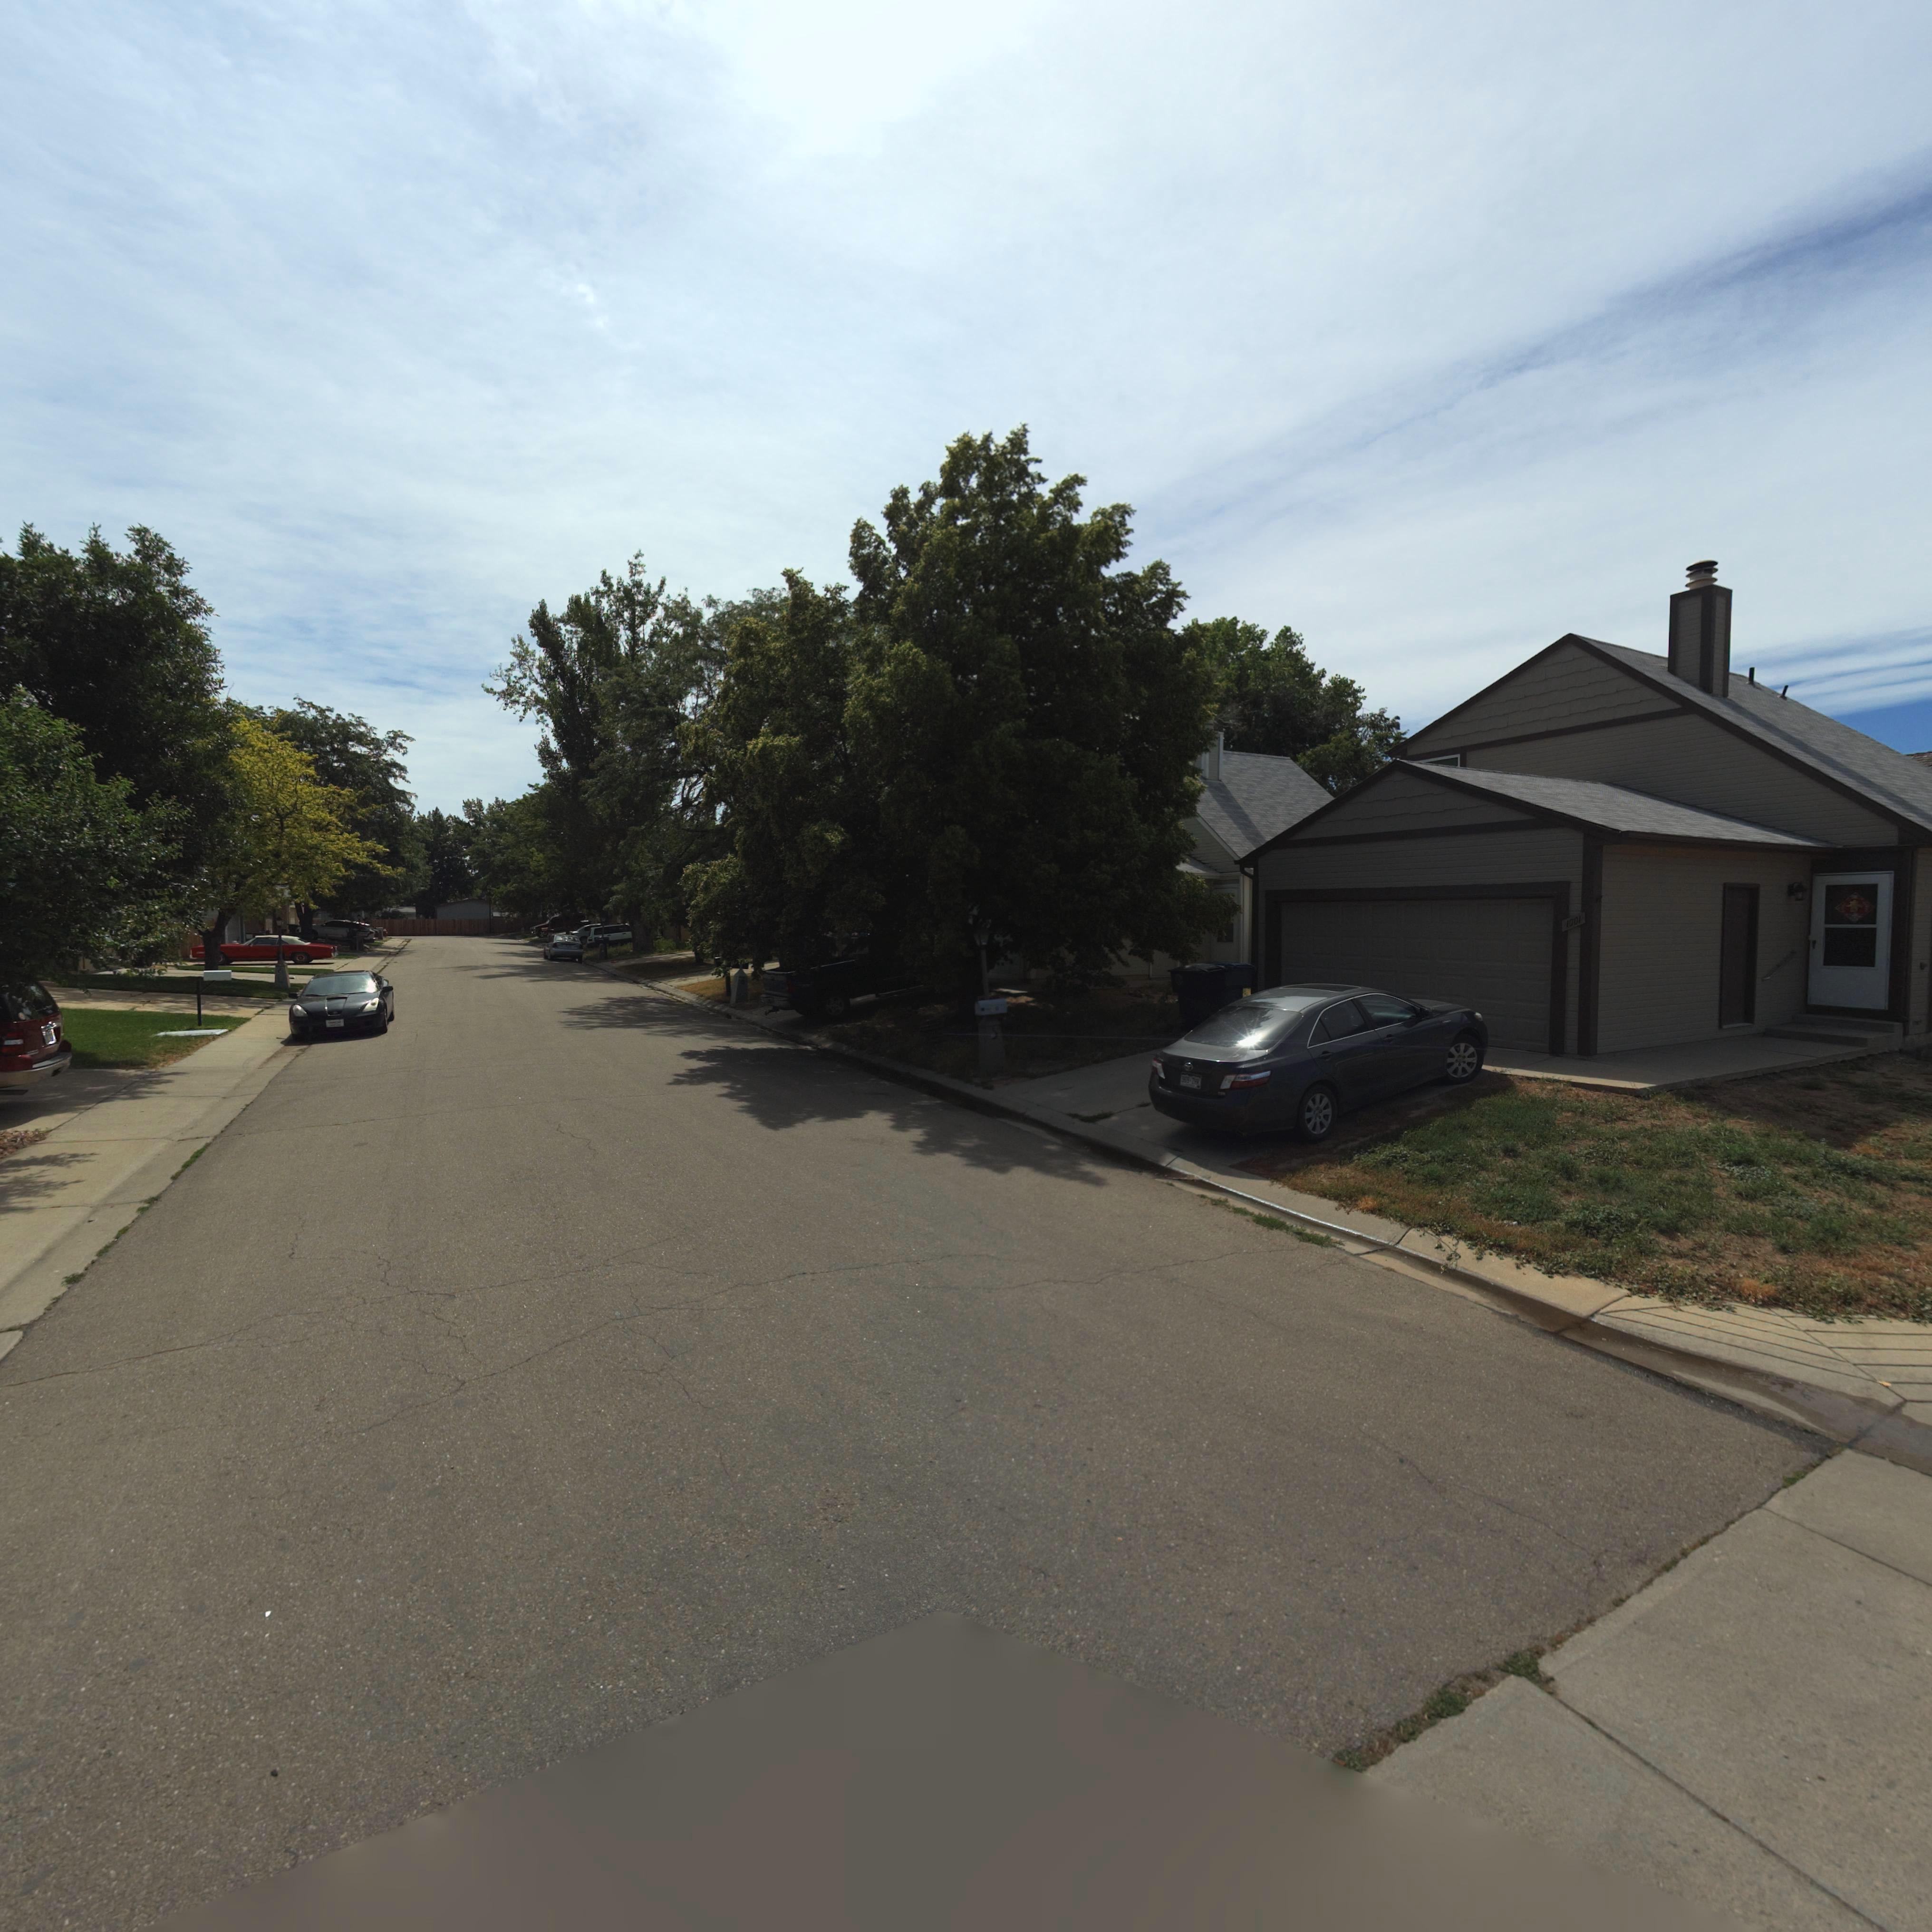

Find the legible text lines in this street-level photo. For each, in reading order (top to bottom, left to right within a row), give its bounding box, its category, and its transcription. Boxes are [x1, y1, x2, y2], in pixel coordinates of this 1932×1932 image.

[1565, 915, 1581, 928] StreetNumber: 1001